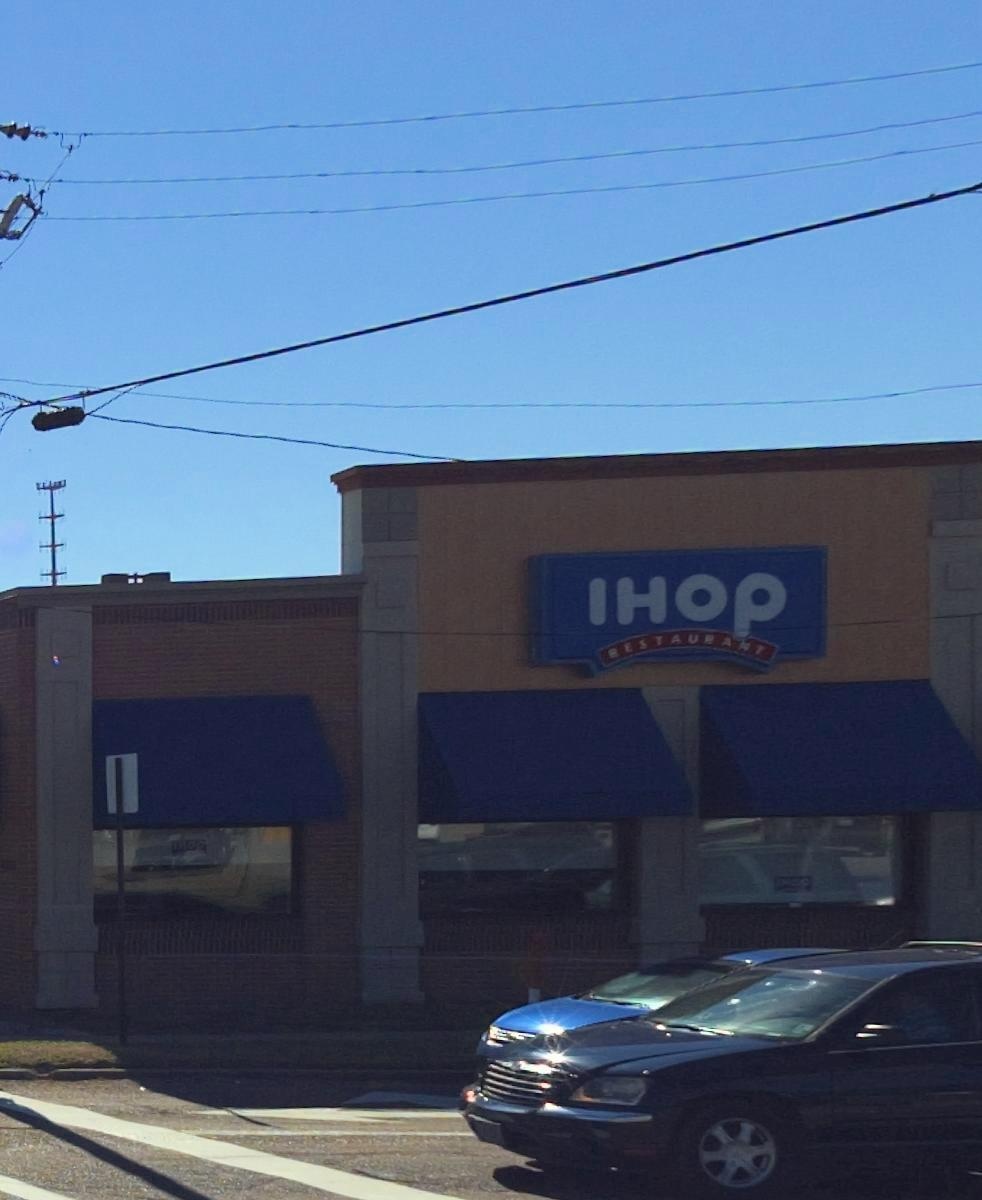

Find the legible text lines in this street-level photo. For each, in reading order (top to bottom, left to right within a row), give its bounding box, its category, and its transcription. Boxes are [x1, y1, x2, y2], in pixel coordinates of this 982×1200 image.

[586, 570, 789, 639] BusinessName: IHOP
[606, 631, 769, 660] None: RESTAURANT
[171, 840, 206, 851] BusinessName: IHO*
[774, 876, 811, 892] BusinessName: IHOP